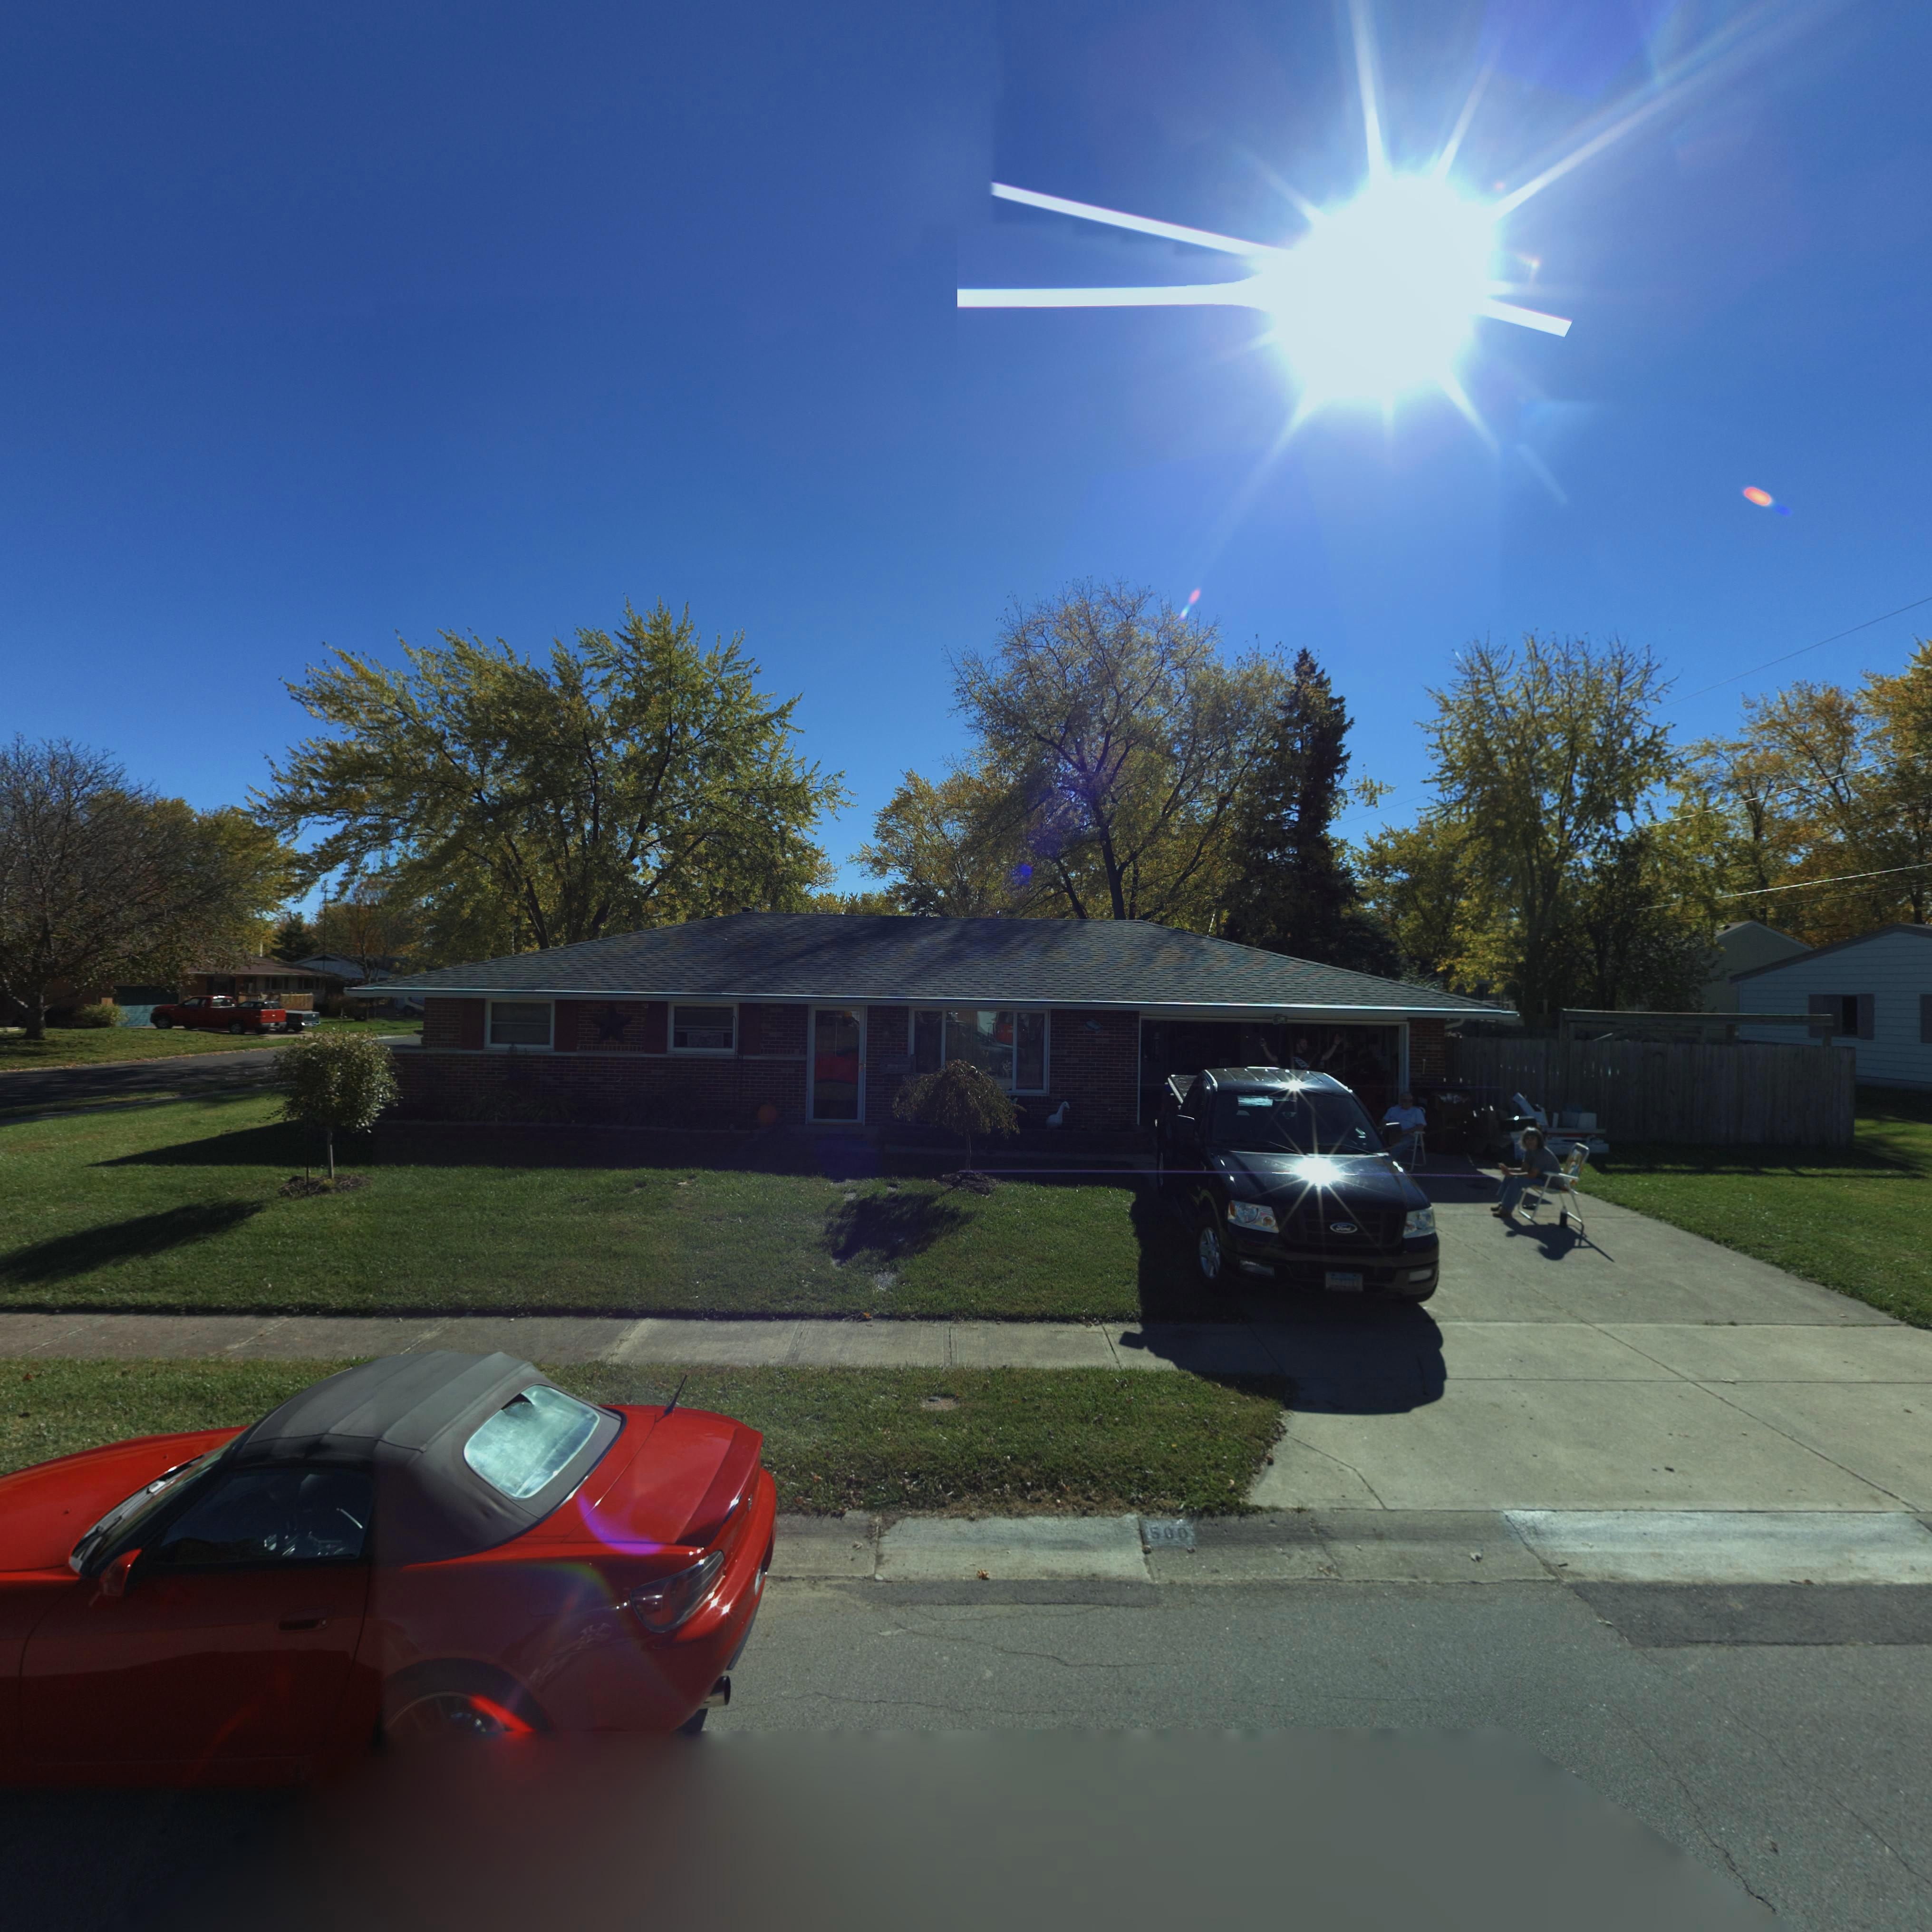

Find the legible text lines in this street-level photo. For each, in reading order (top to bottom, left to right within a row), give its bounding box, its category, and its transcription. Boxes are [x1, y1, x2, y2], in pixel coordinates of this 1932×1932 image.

[902, 1074, 914, 1082] StreetNumber: 500
[1149, 1526, 1188, 1540] StreetNumber: 500